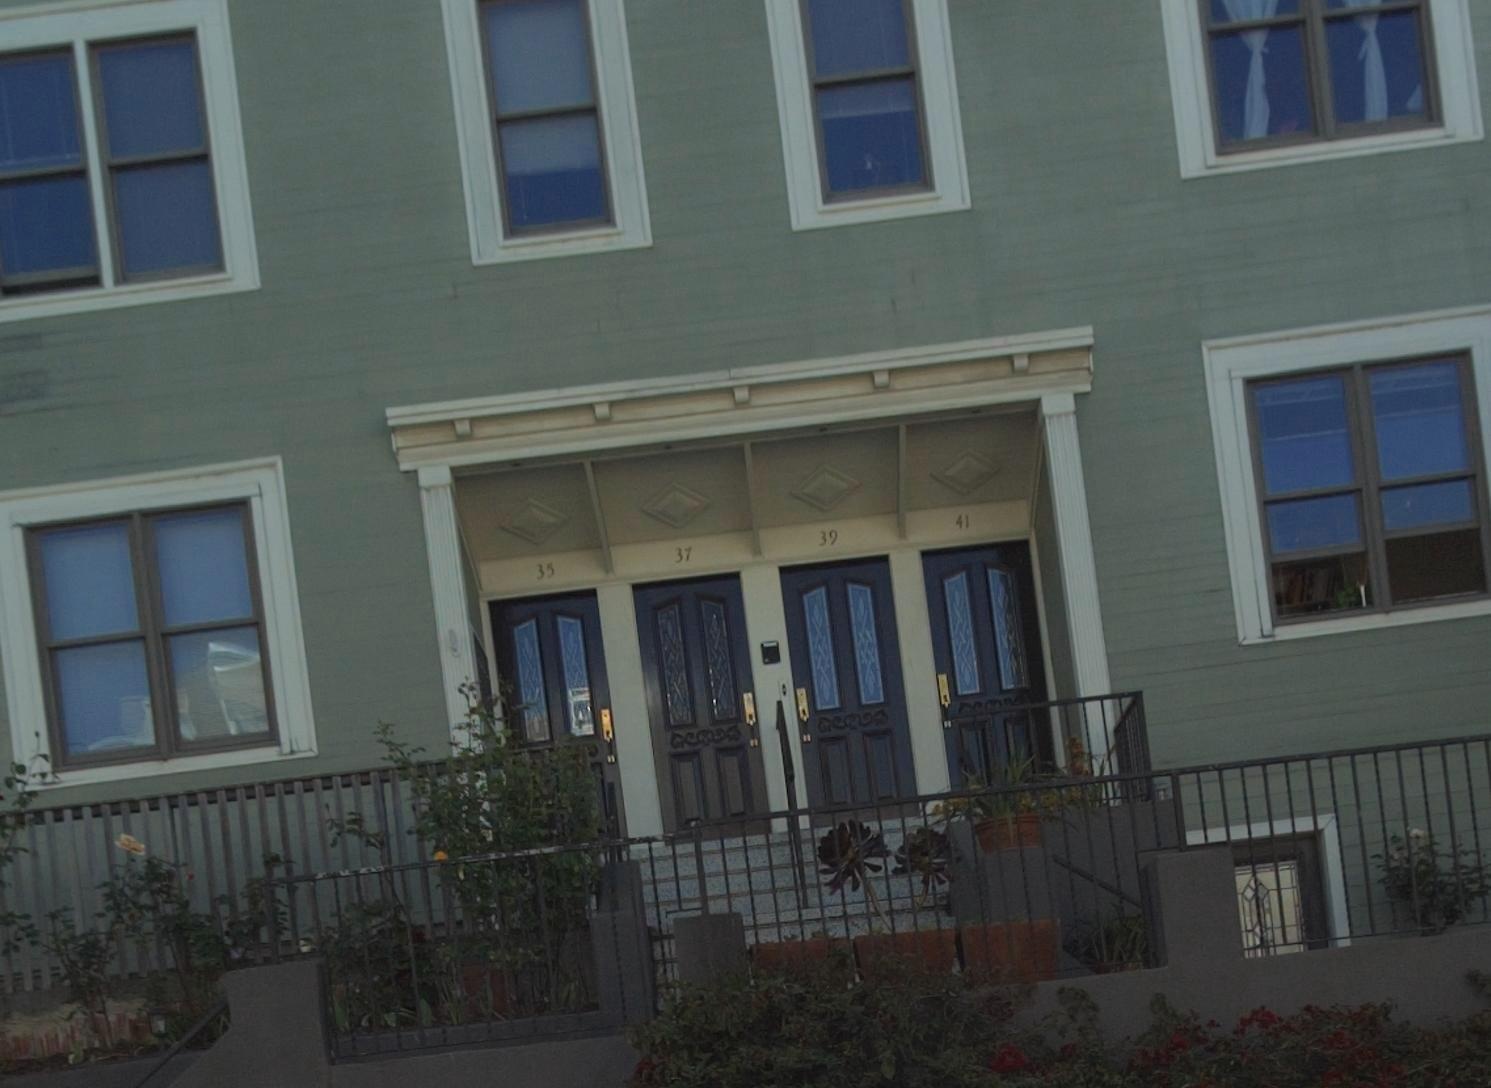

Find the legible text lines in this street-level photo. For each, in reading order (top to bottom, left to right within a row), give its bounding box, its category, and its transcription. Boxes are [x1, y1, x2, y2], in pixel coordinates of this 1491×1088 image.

[954, 511, 973, 532] StreetNumber: 41
[816, 528, 841, 549] StreetNumber: 39
[672, 543, 695, 566] StreetNumber: 37
[535, 559, 558, 583] StreetNumber: 35